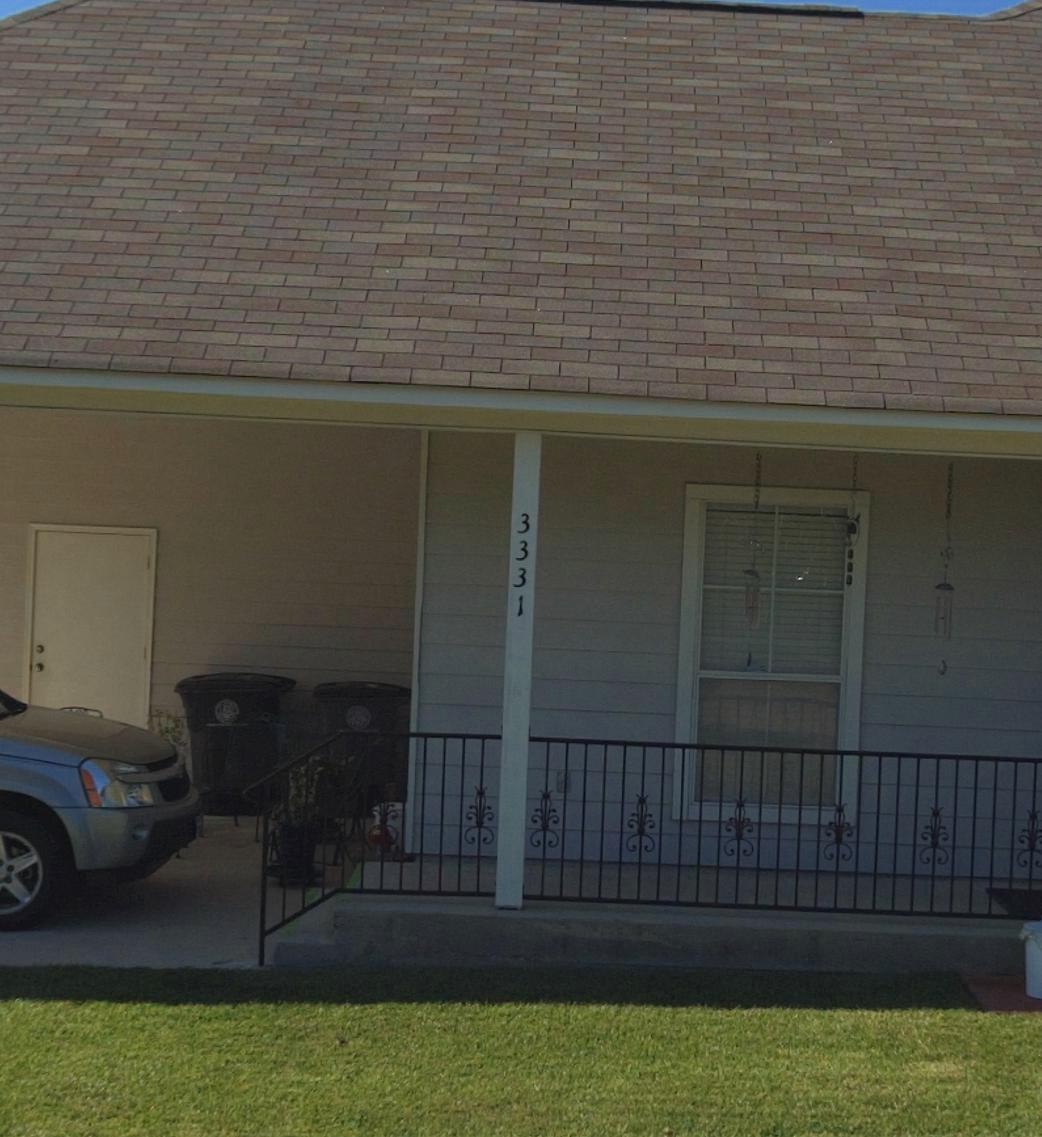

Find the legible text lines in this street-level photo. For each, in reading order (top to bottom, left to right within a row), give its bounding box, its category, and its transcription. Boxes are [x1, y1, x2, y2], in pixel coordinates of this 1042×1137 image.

[510, 511, 533, 620] StreetNumber: 3331